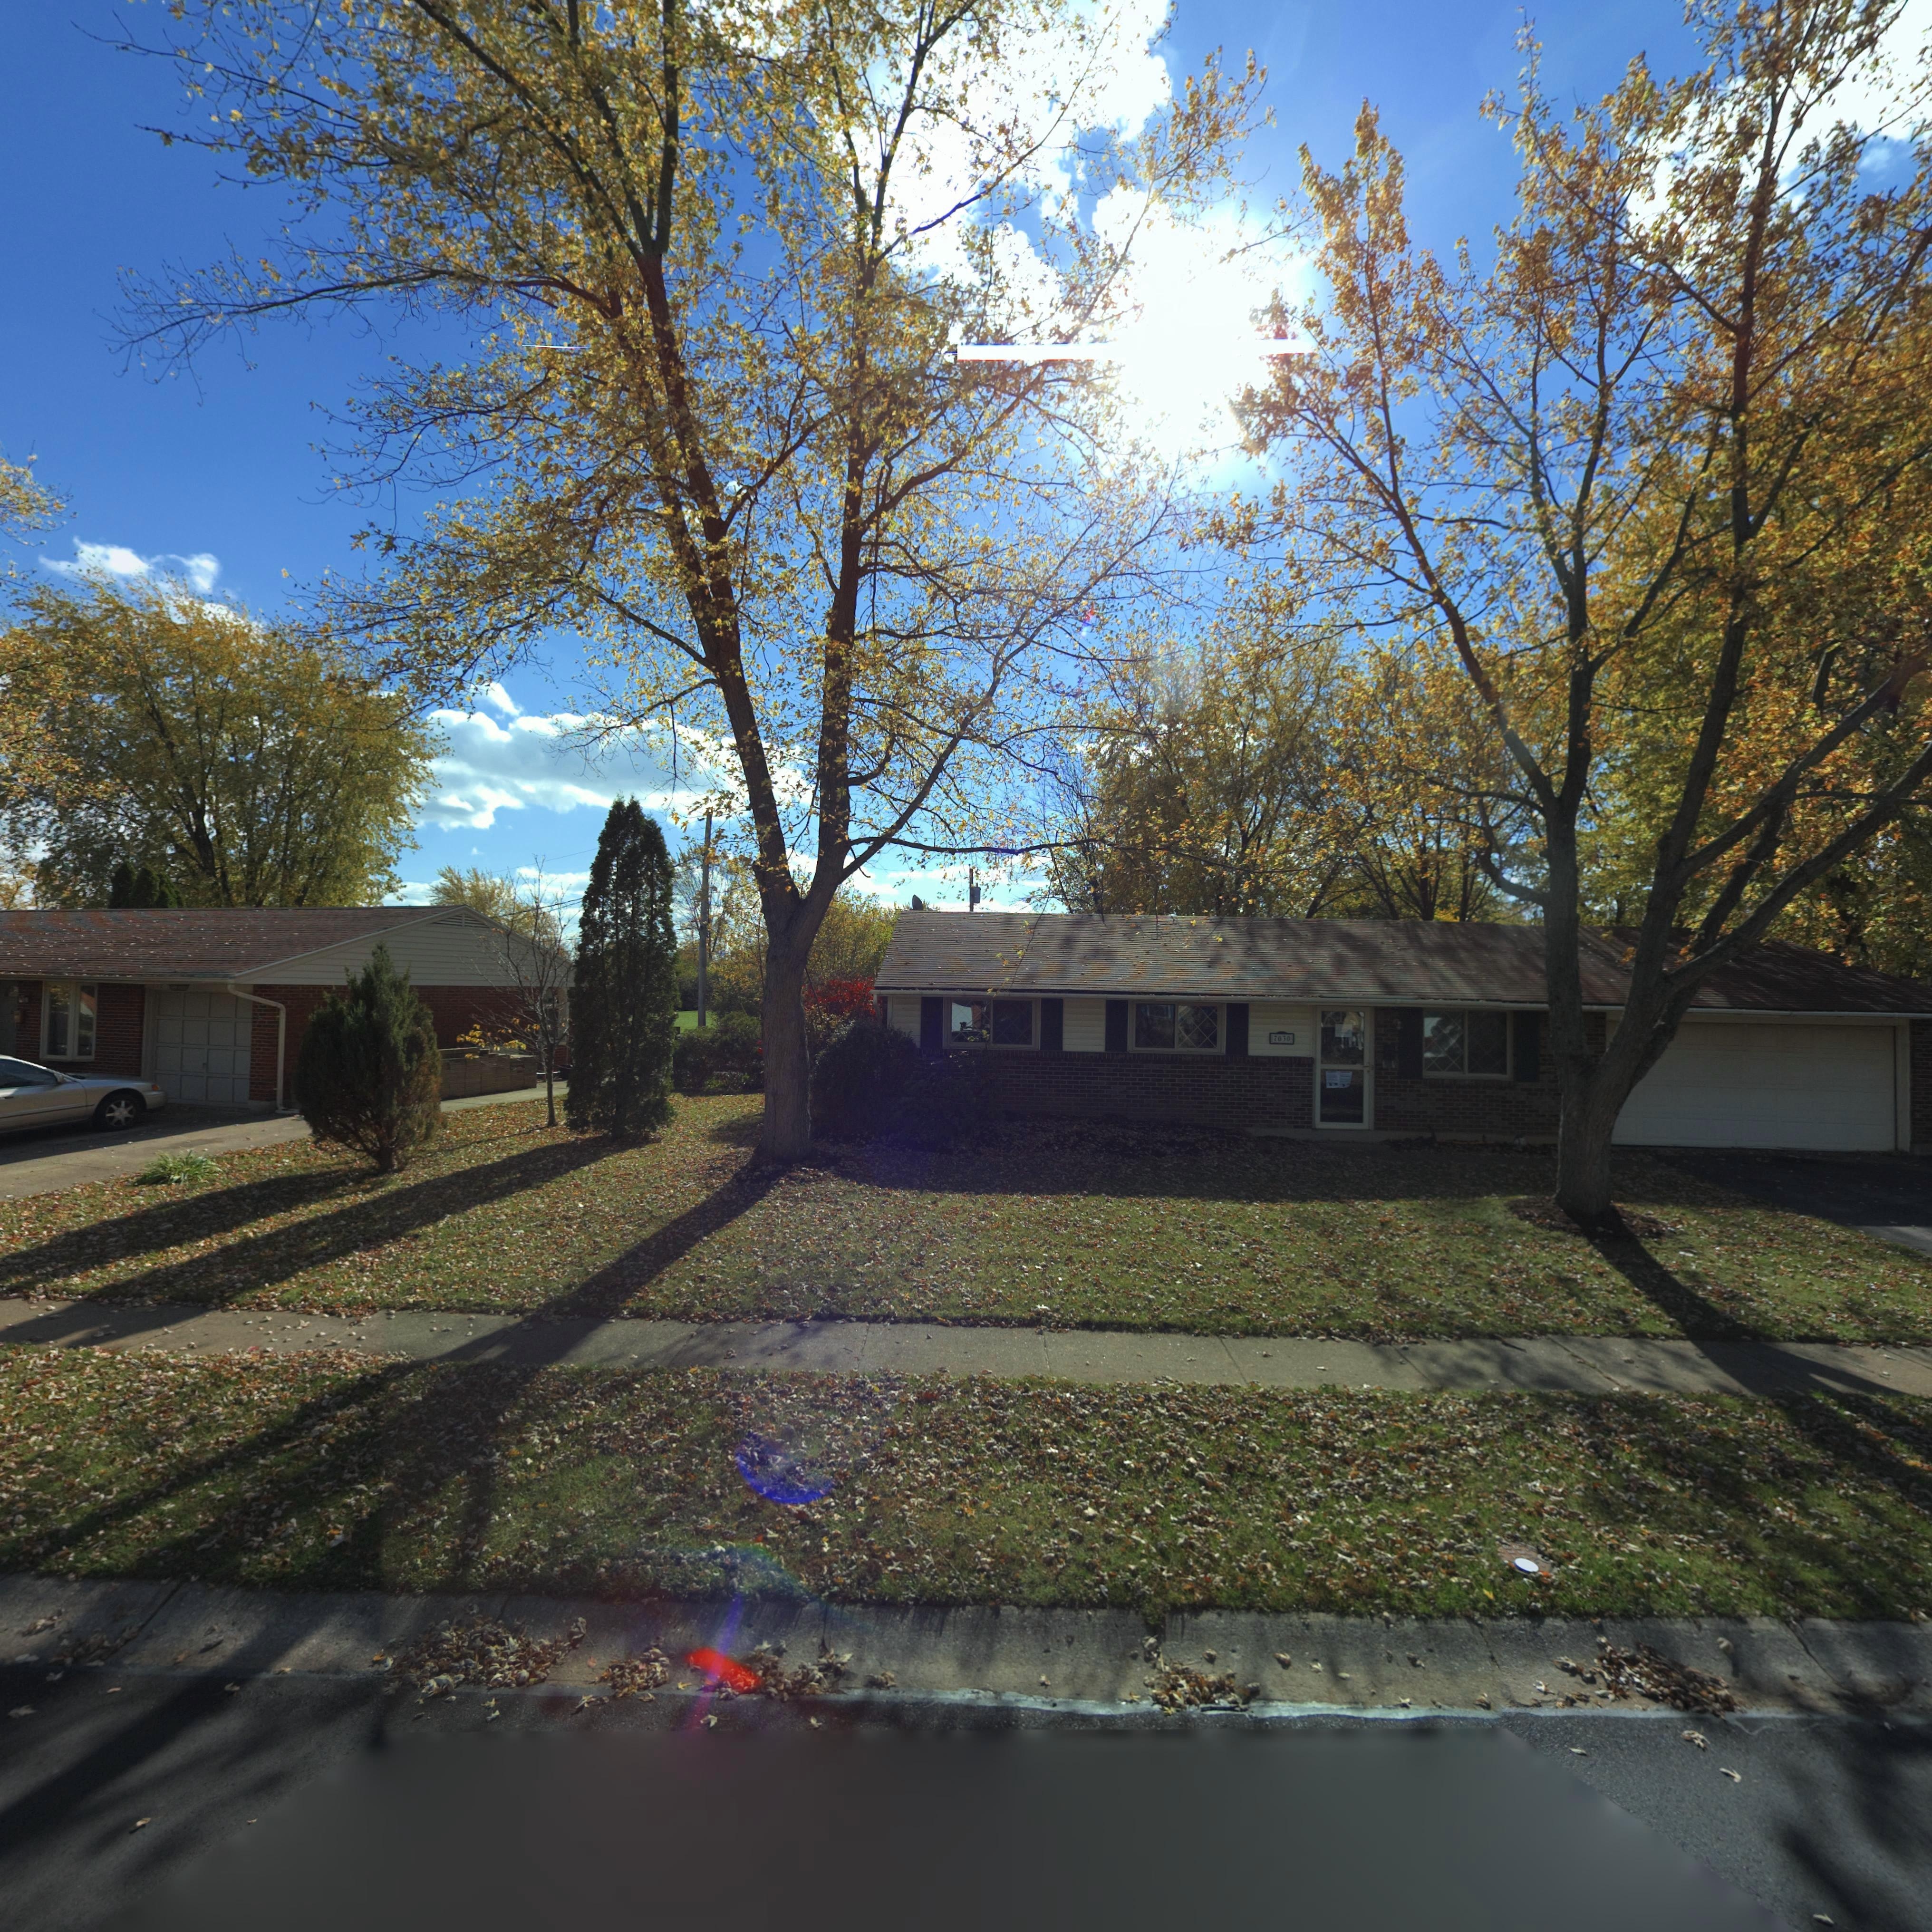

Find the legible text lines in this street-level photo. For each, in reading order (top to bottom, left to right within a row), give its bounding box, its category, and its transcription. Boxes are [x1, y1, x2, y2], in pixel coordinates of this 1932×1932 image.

[1273, 1034, 1292, 1043] StreetNumber: 7030